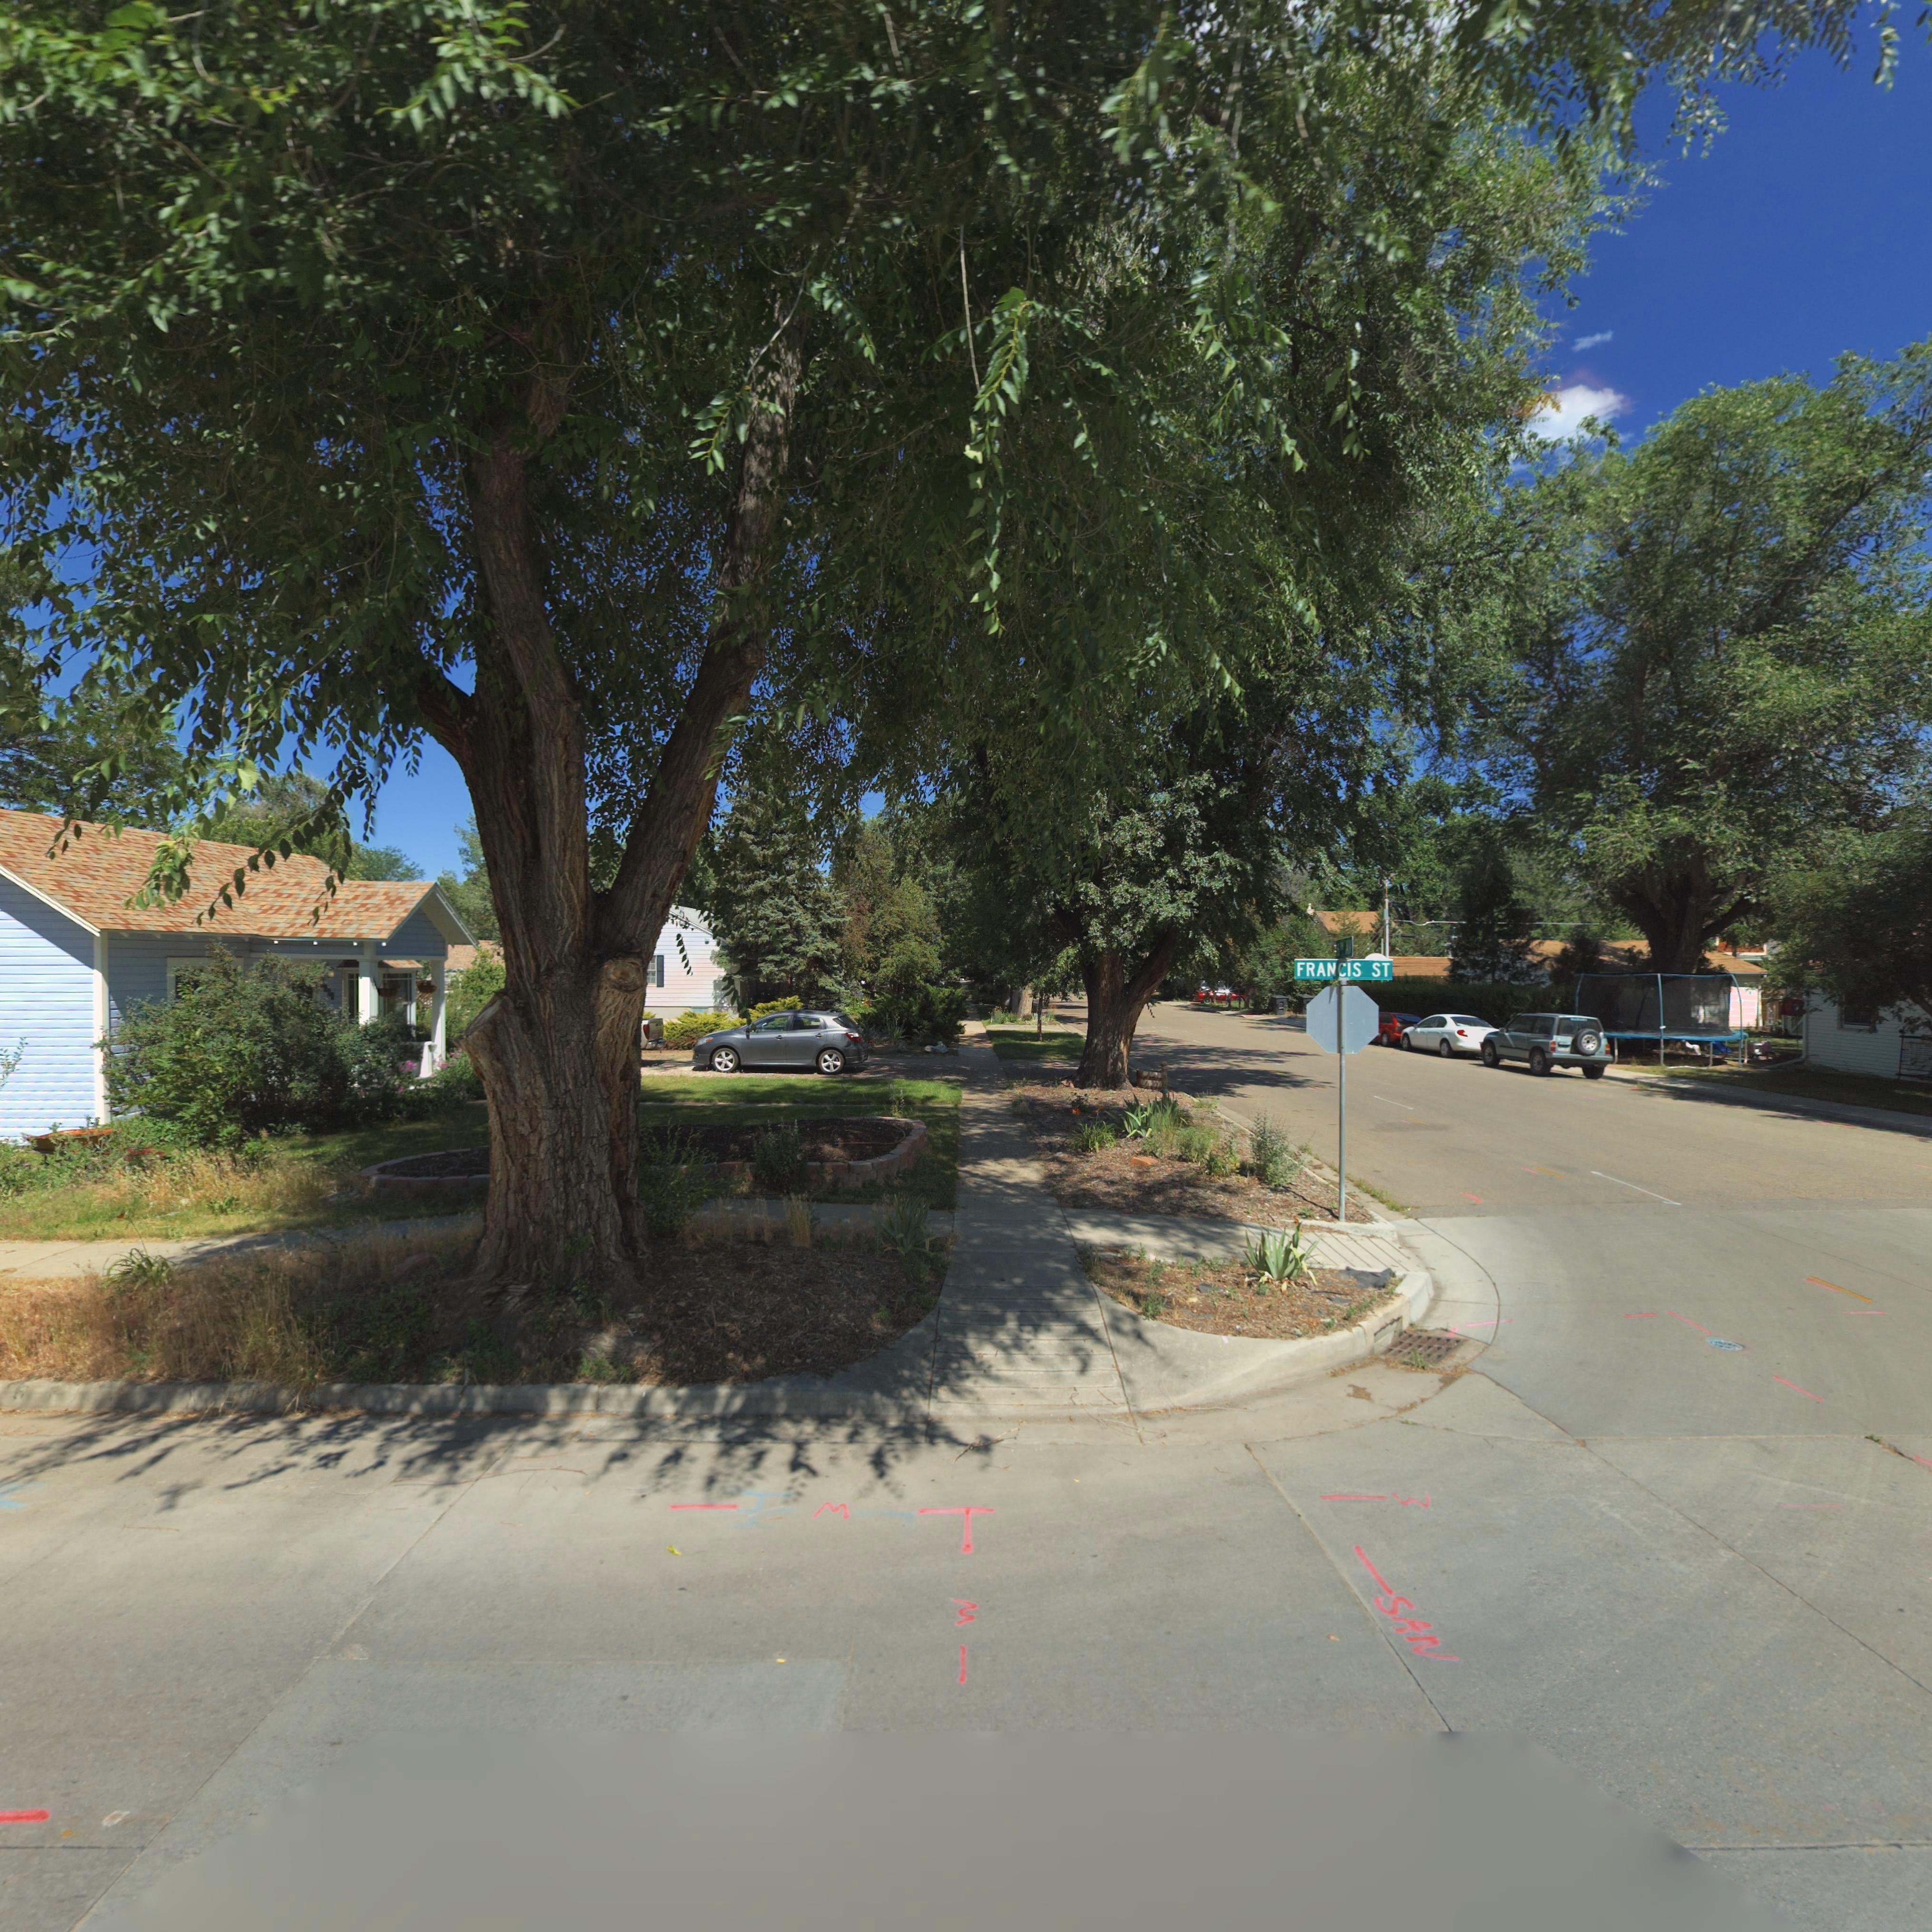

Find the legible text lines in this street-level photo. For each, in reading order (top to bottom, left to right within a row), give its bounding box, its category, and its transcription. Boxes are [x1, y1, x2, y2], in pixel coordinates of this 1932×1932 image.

[1336, 938, 1352, 956] StreetName: 6** AV
[1297, 961, 1391, 977] StreetName: FRANCIS ST